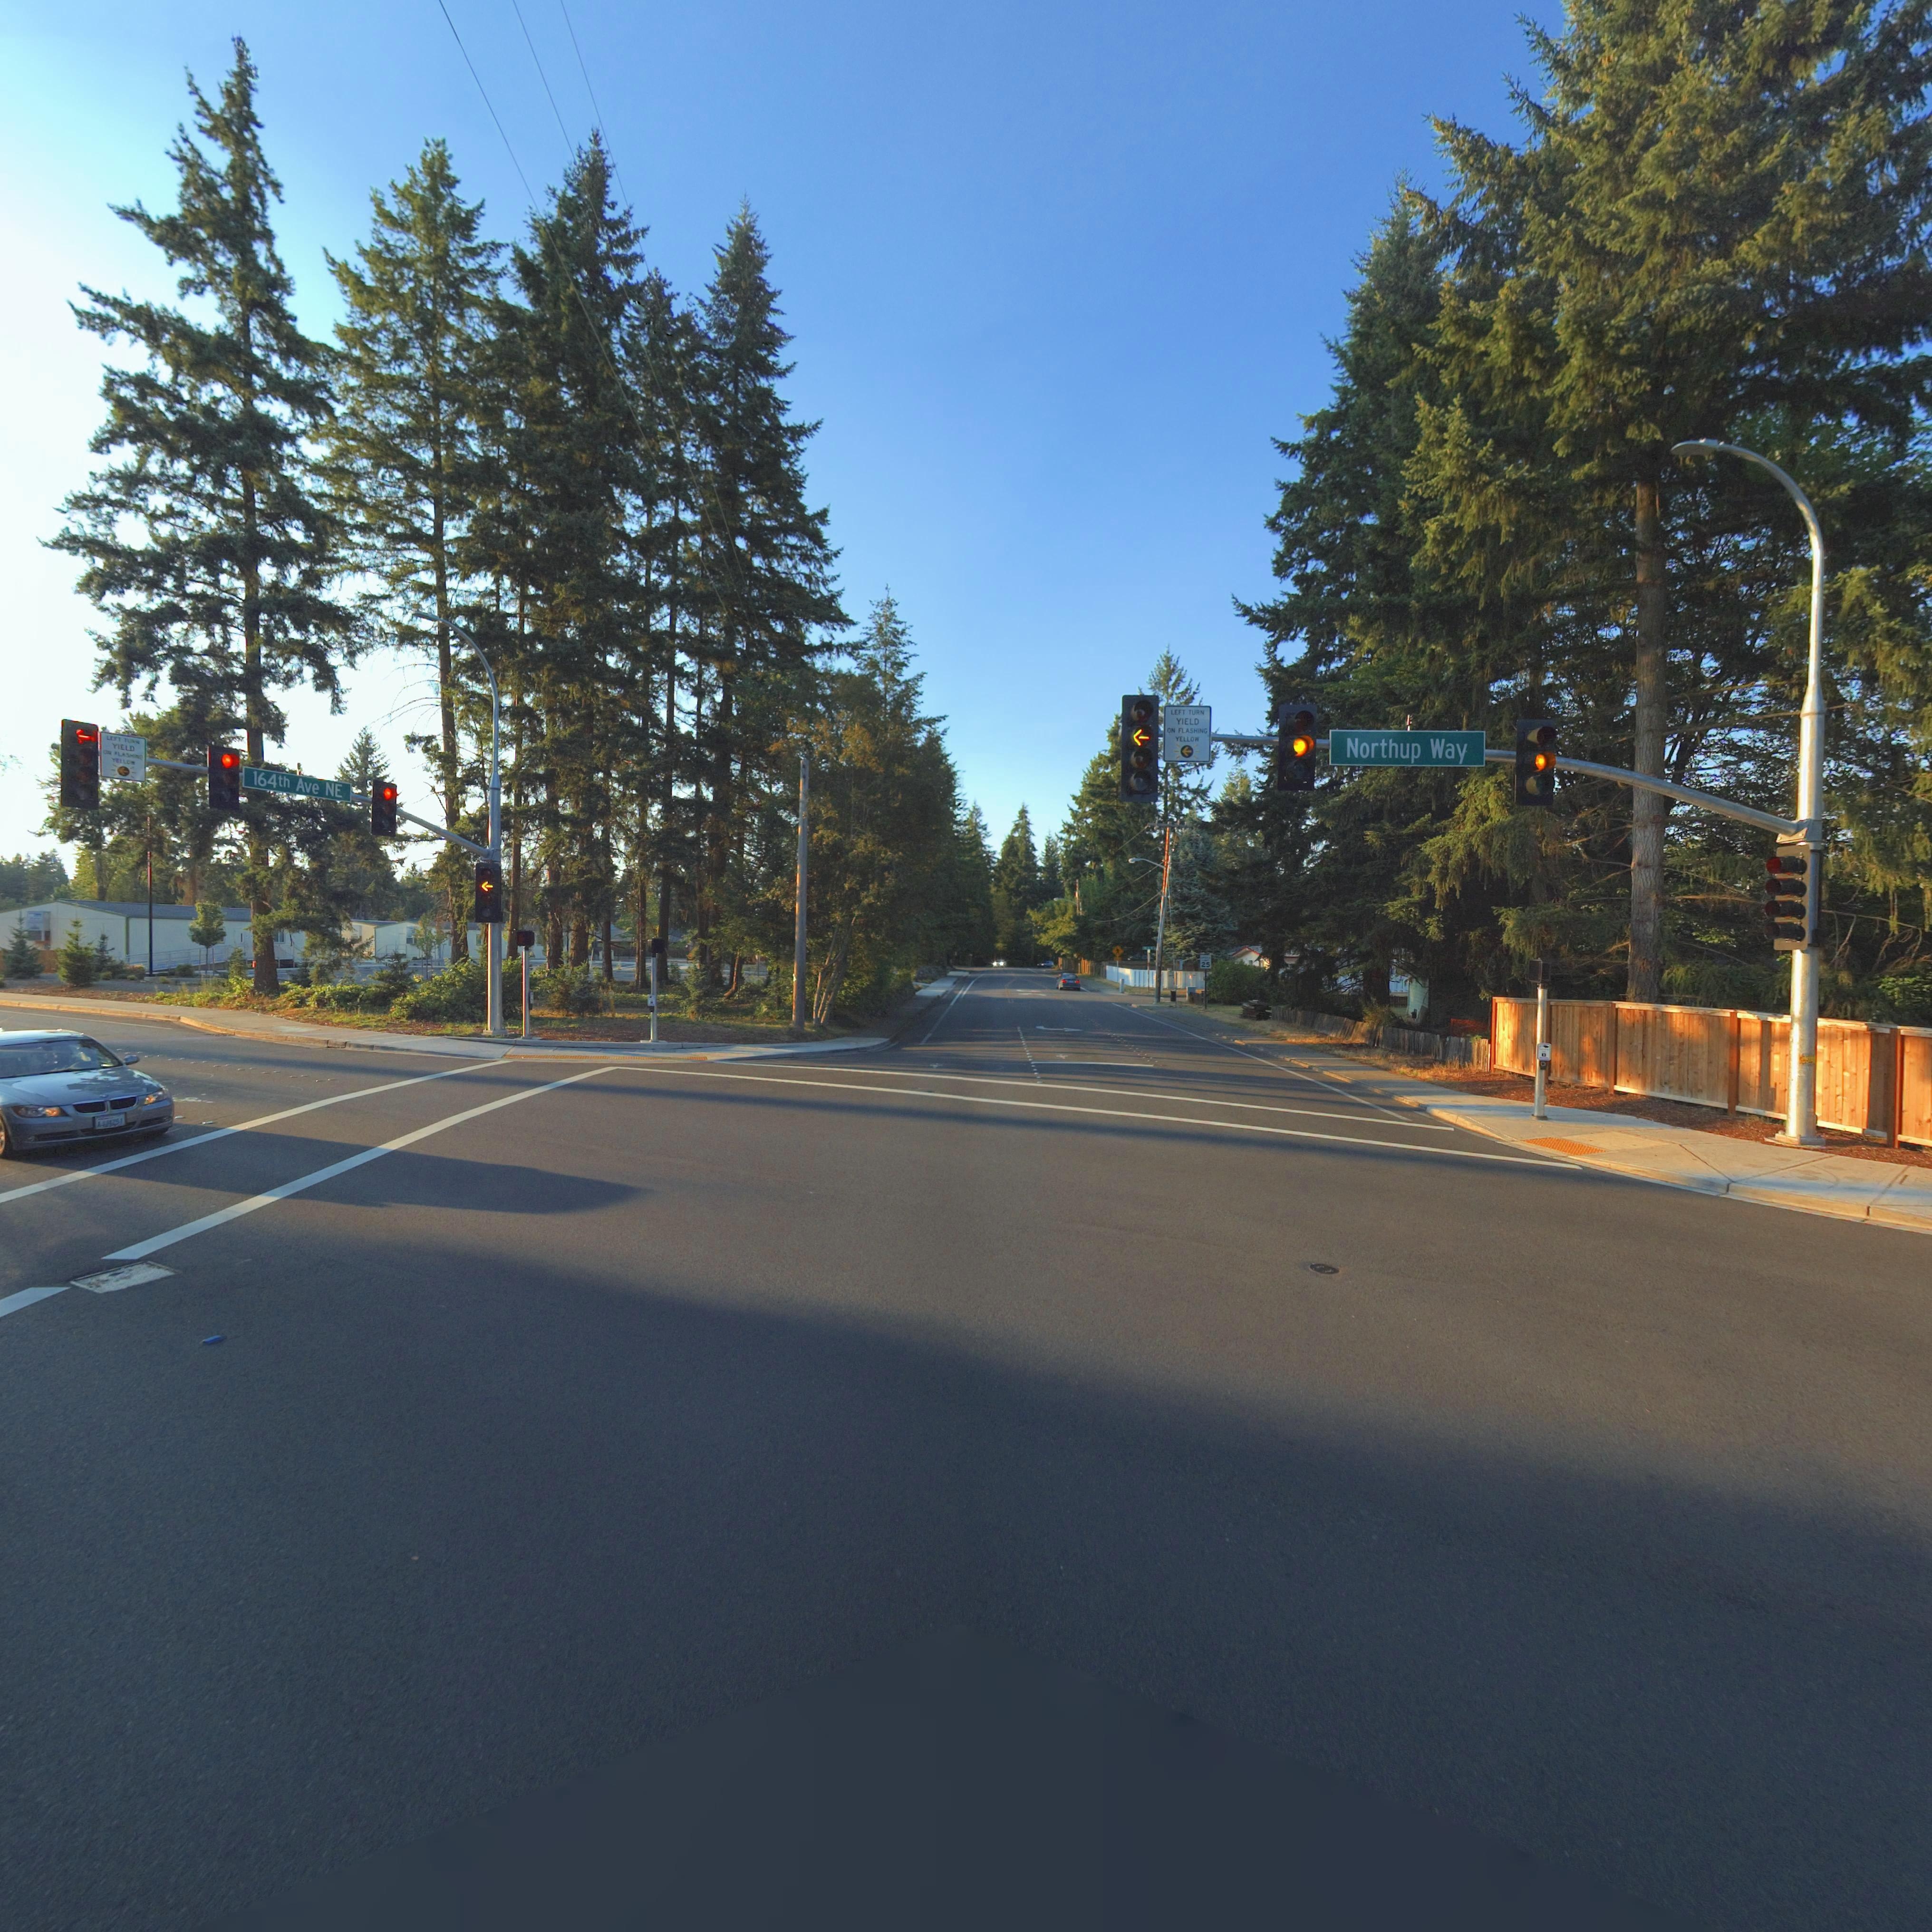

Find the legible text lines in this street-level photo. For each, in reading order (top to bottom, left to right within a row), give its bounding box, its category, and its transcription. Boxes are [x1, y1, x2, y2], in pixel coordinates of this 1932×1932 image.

[1346, 737, 1468, 764] StreetName: Northup Way
[250, 767, 348, 802] StreetName: 1647th Ave NE